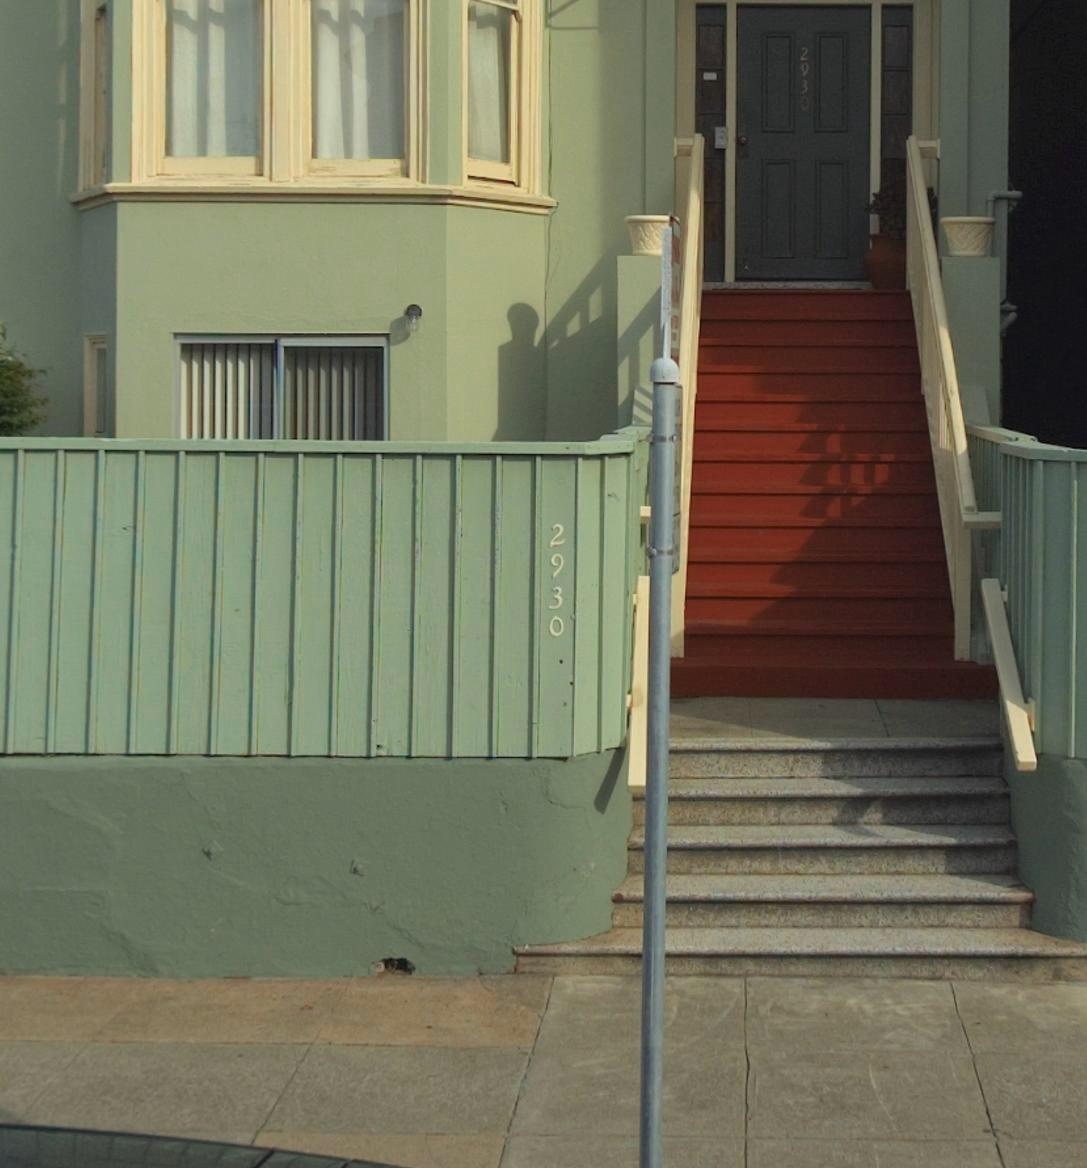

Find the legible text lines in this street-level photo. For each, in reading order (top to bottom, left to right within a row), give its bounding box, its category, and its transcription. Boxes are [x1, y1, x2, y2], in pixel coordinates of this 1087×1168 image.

[546, 520, 567, 640] StreetNumber: 2930